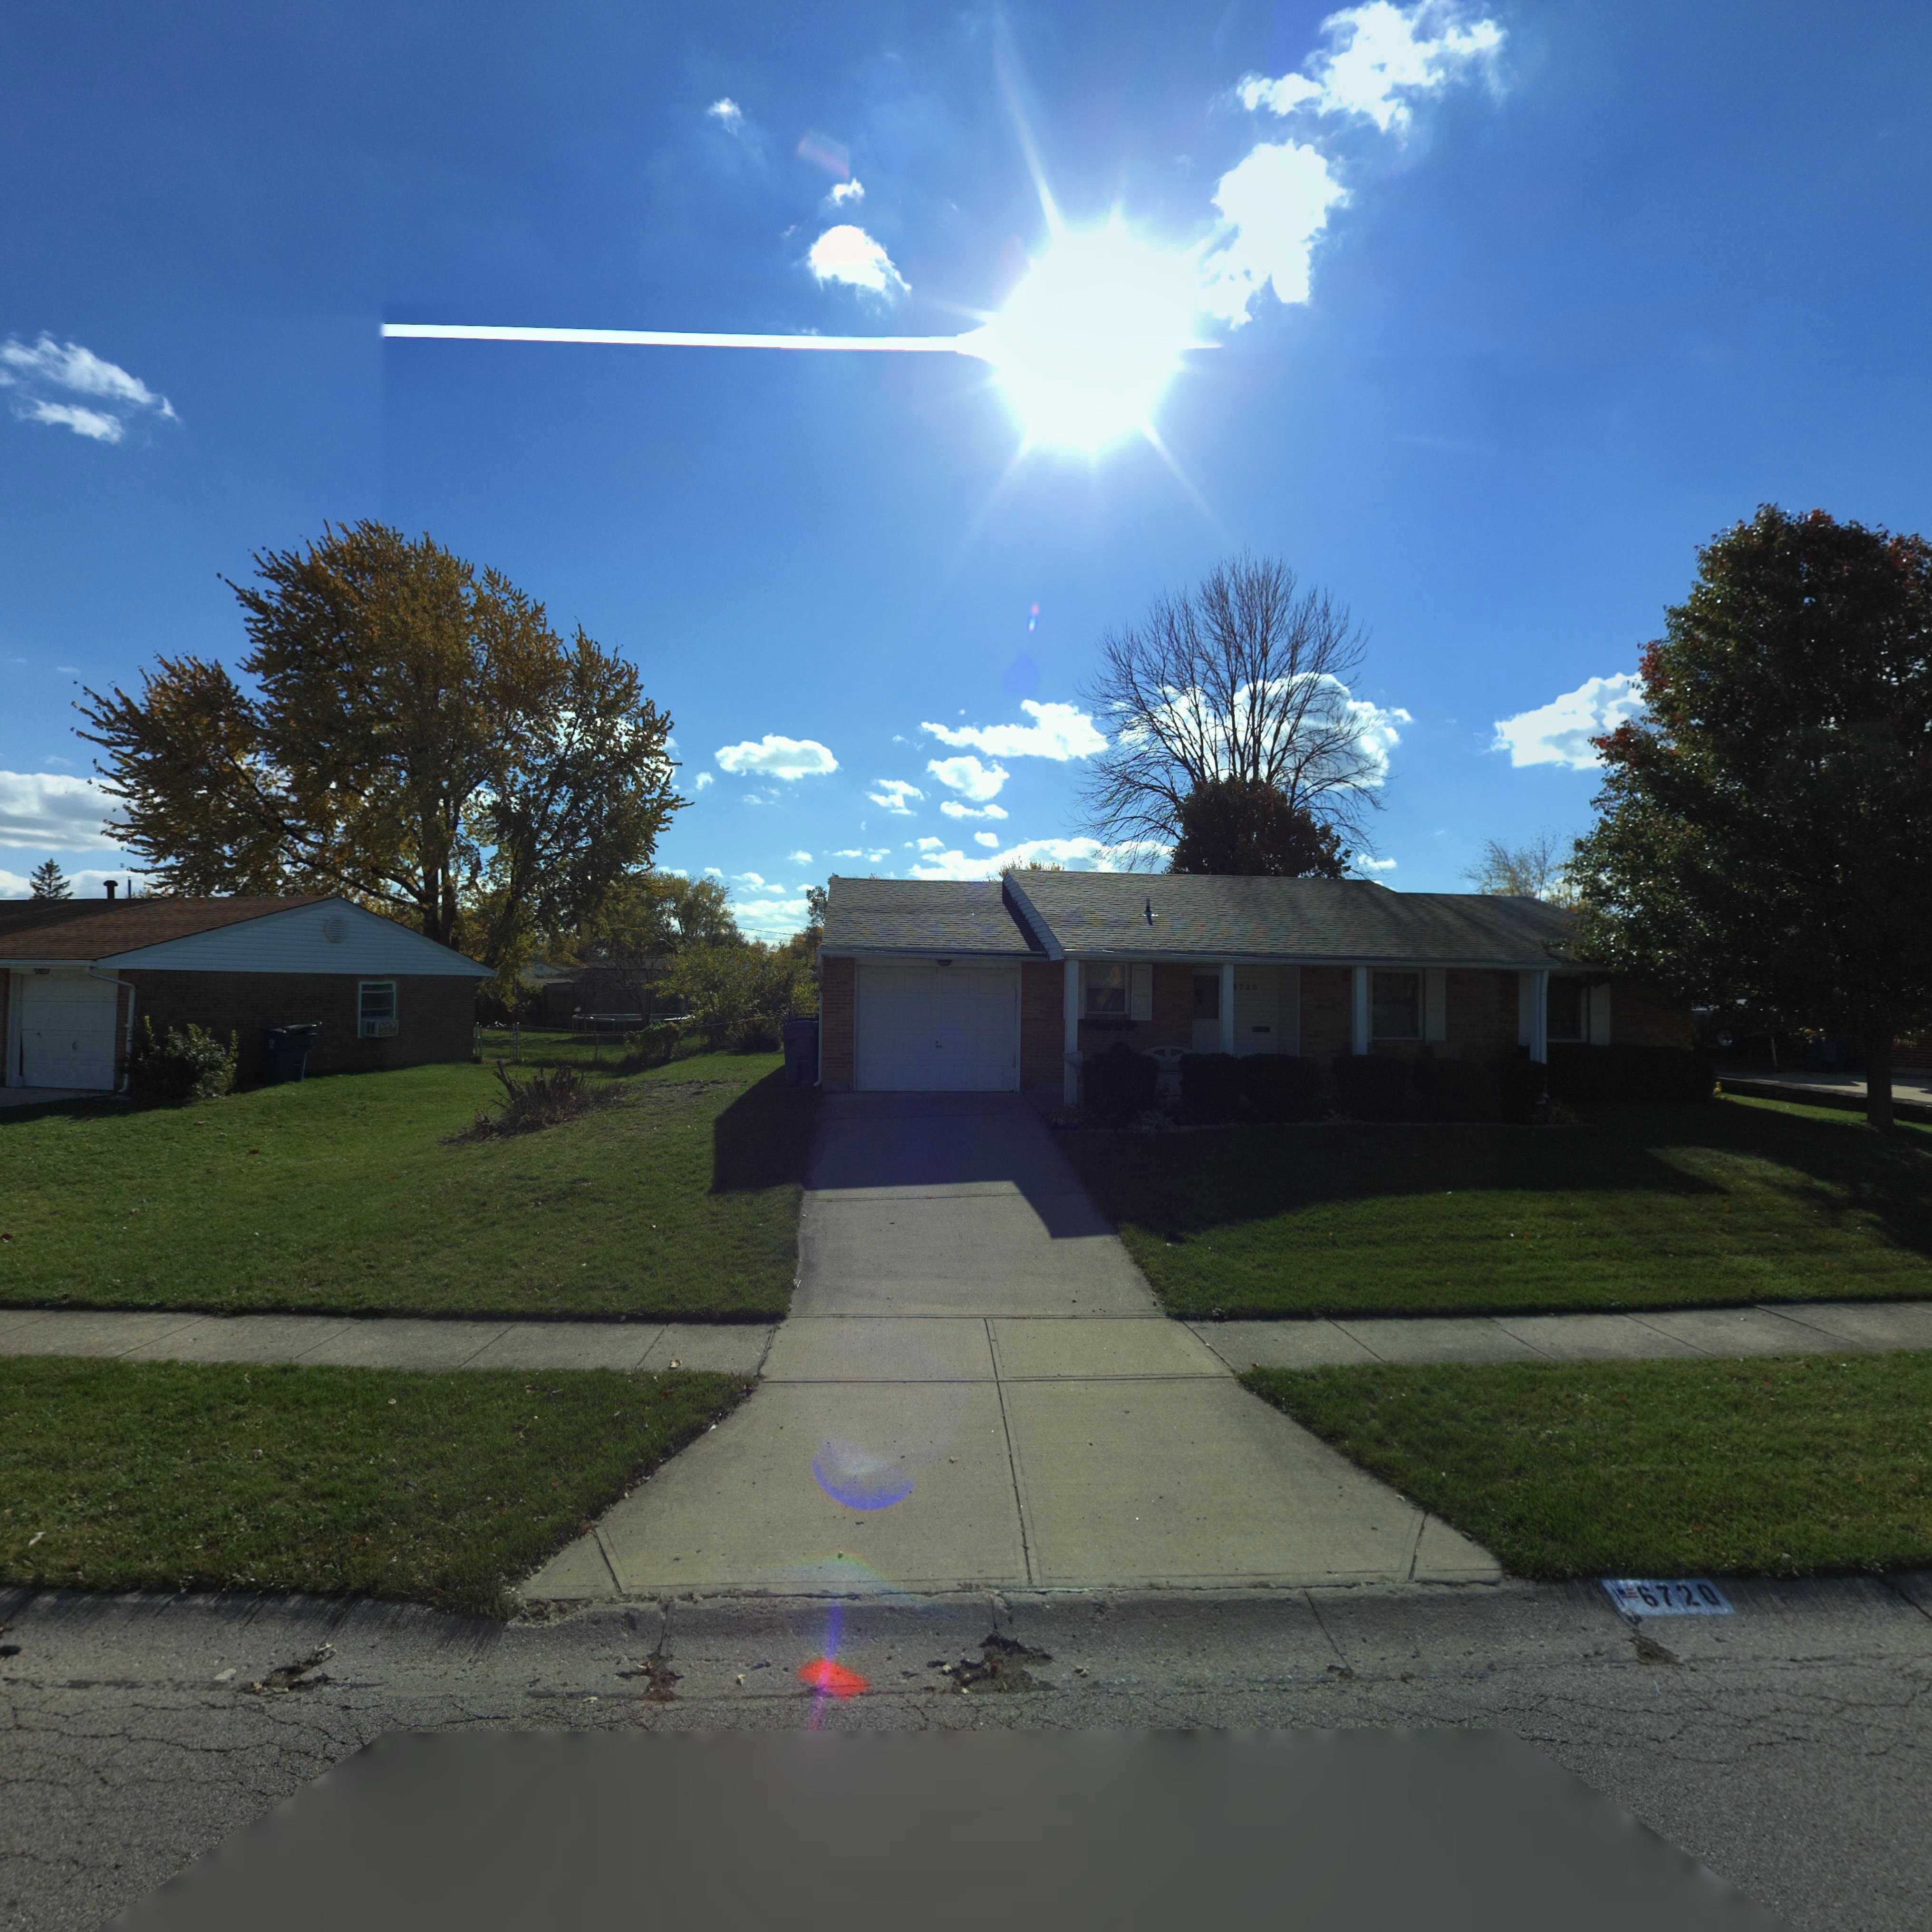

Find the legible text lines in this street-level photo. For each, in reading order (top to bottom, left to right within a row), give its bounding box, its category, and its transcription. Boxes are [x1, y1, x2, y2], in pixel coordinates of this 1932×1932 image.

[1237, 983, 1259, 992] StreetNumber: 720
[1634, 1580, 1724, 1609] StreetNumber: 6720